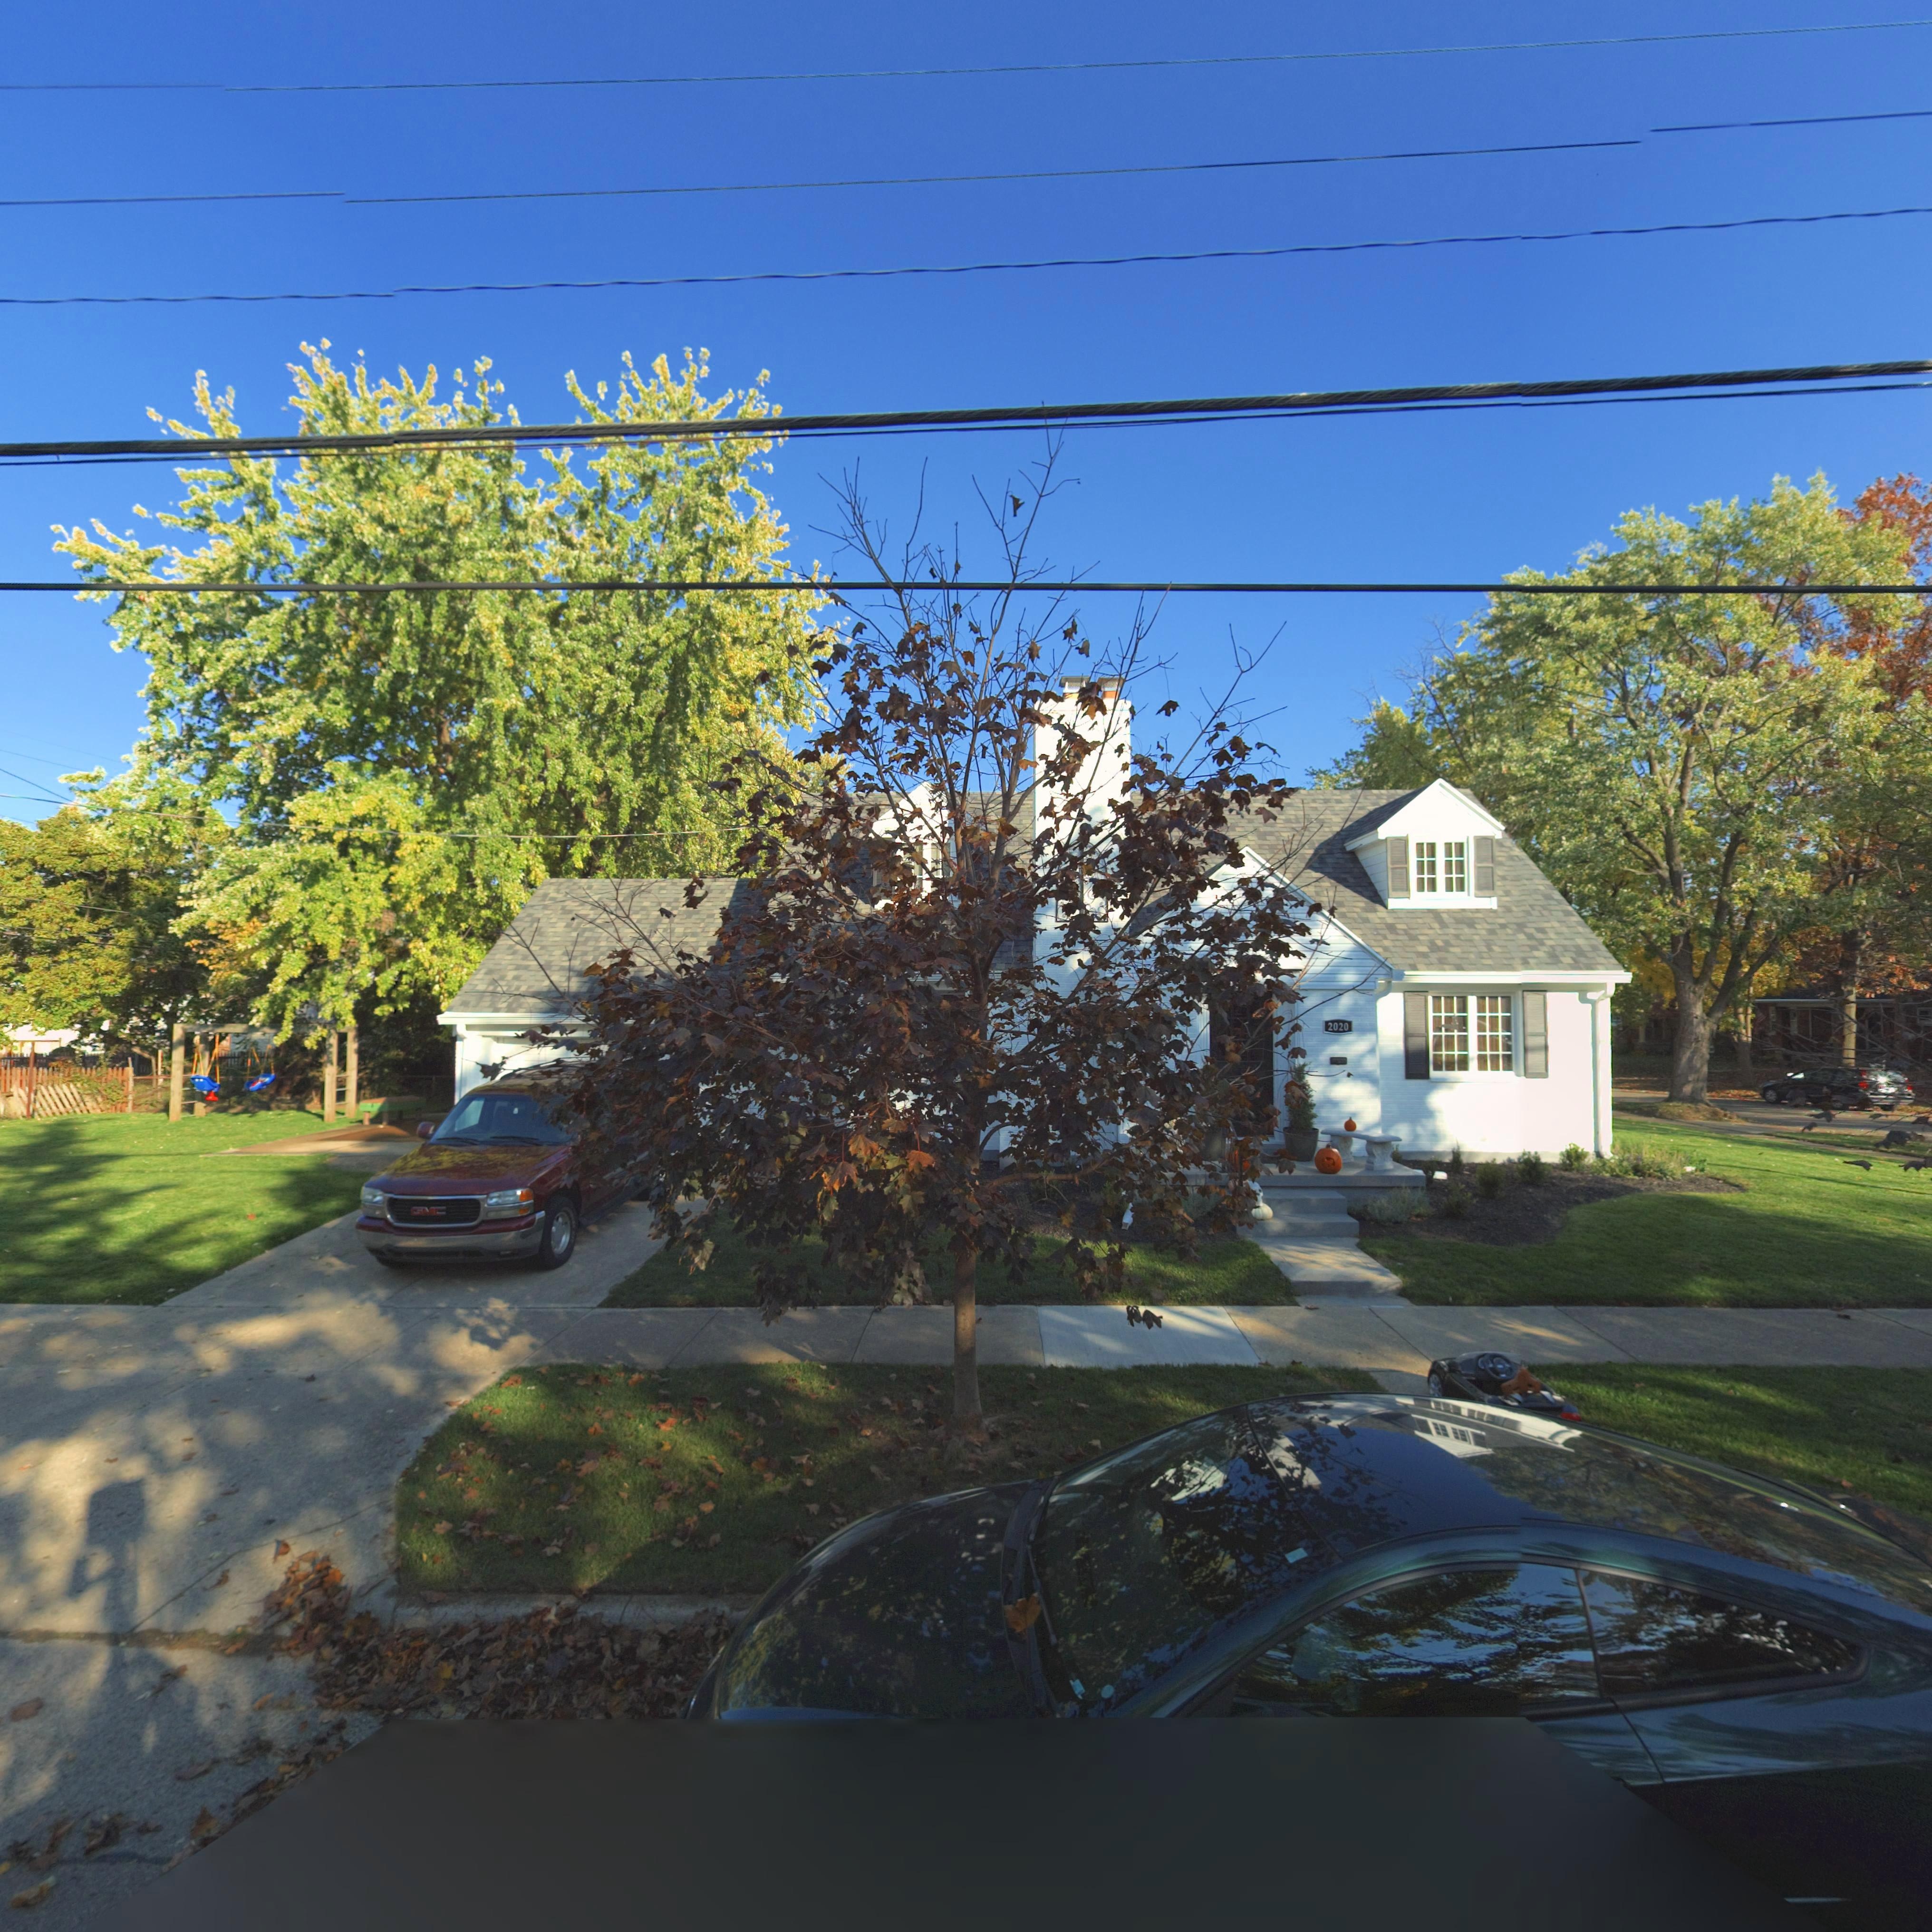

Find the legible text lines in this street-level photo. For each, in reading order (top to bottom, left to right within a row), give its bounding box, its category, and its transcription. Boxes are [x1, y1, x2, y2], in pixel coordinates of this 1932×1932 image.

[1327, 1022, 1350, 1032] StreetNumber: 2020